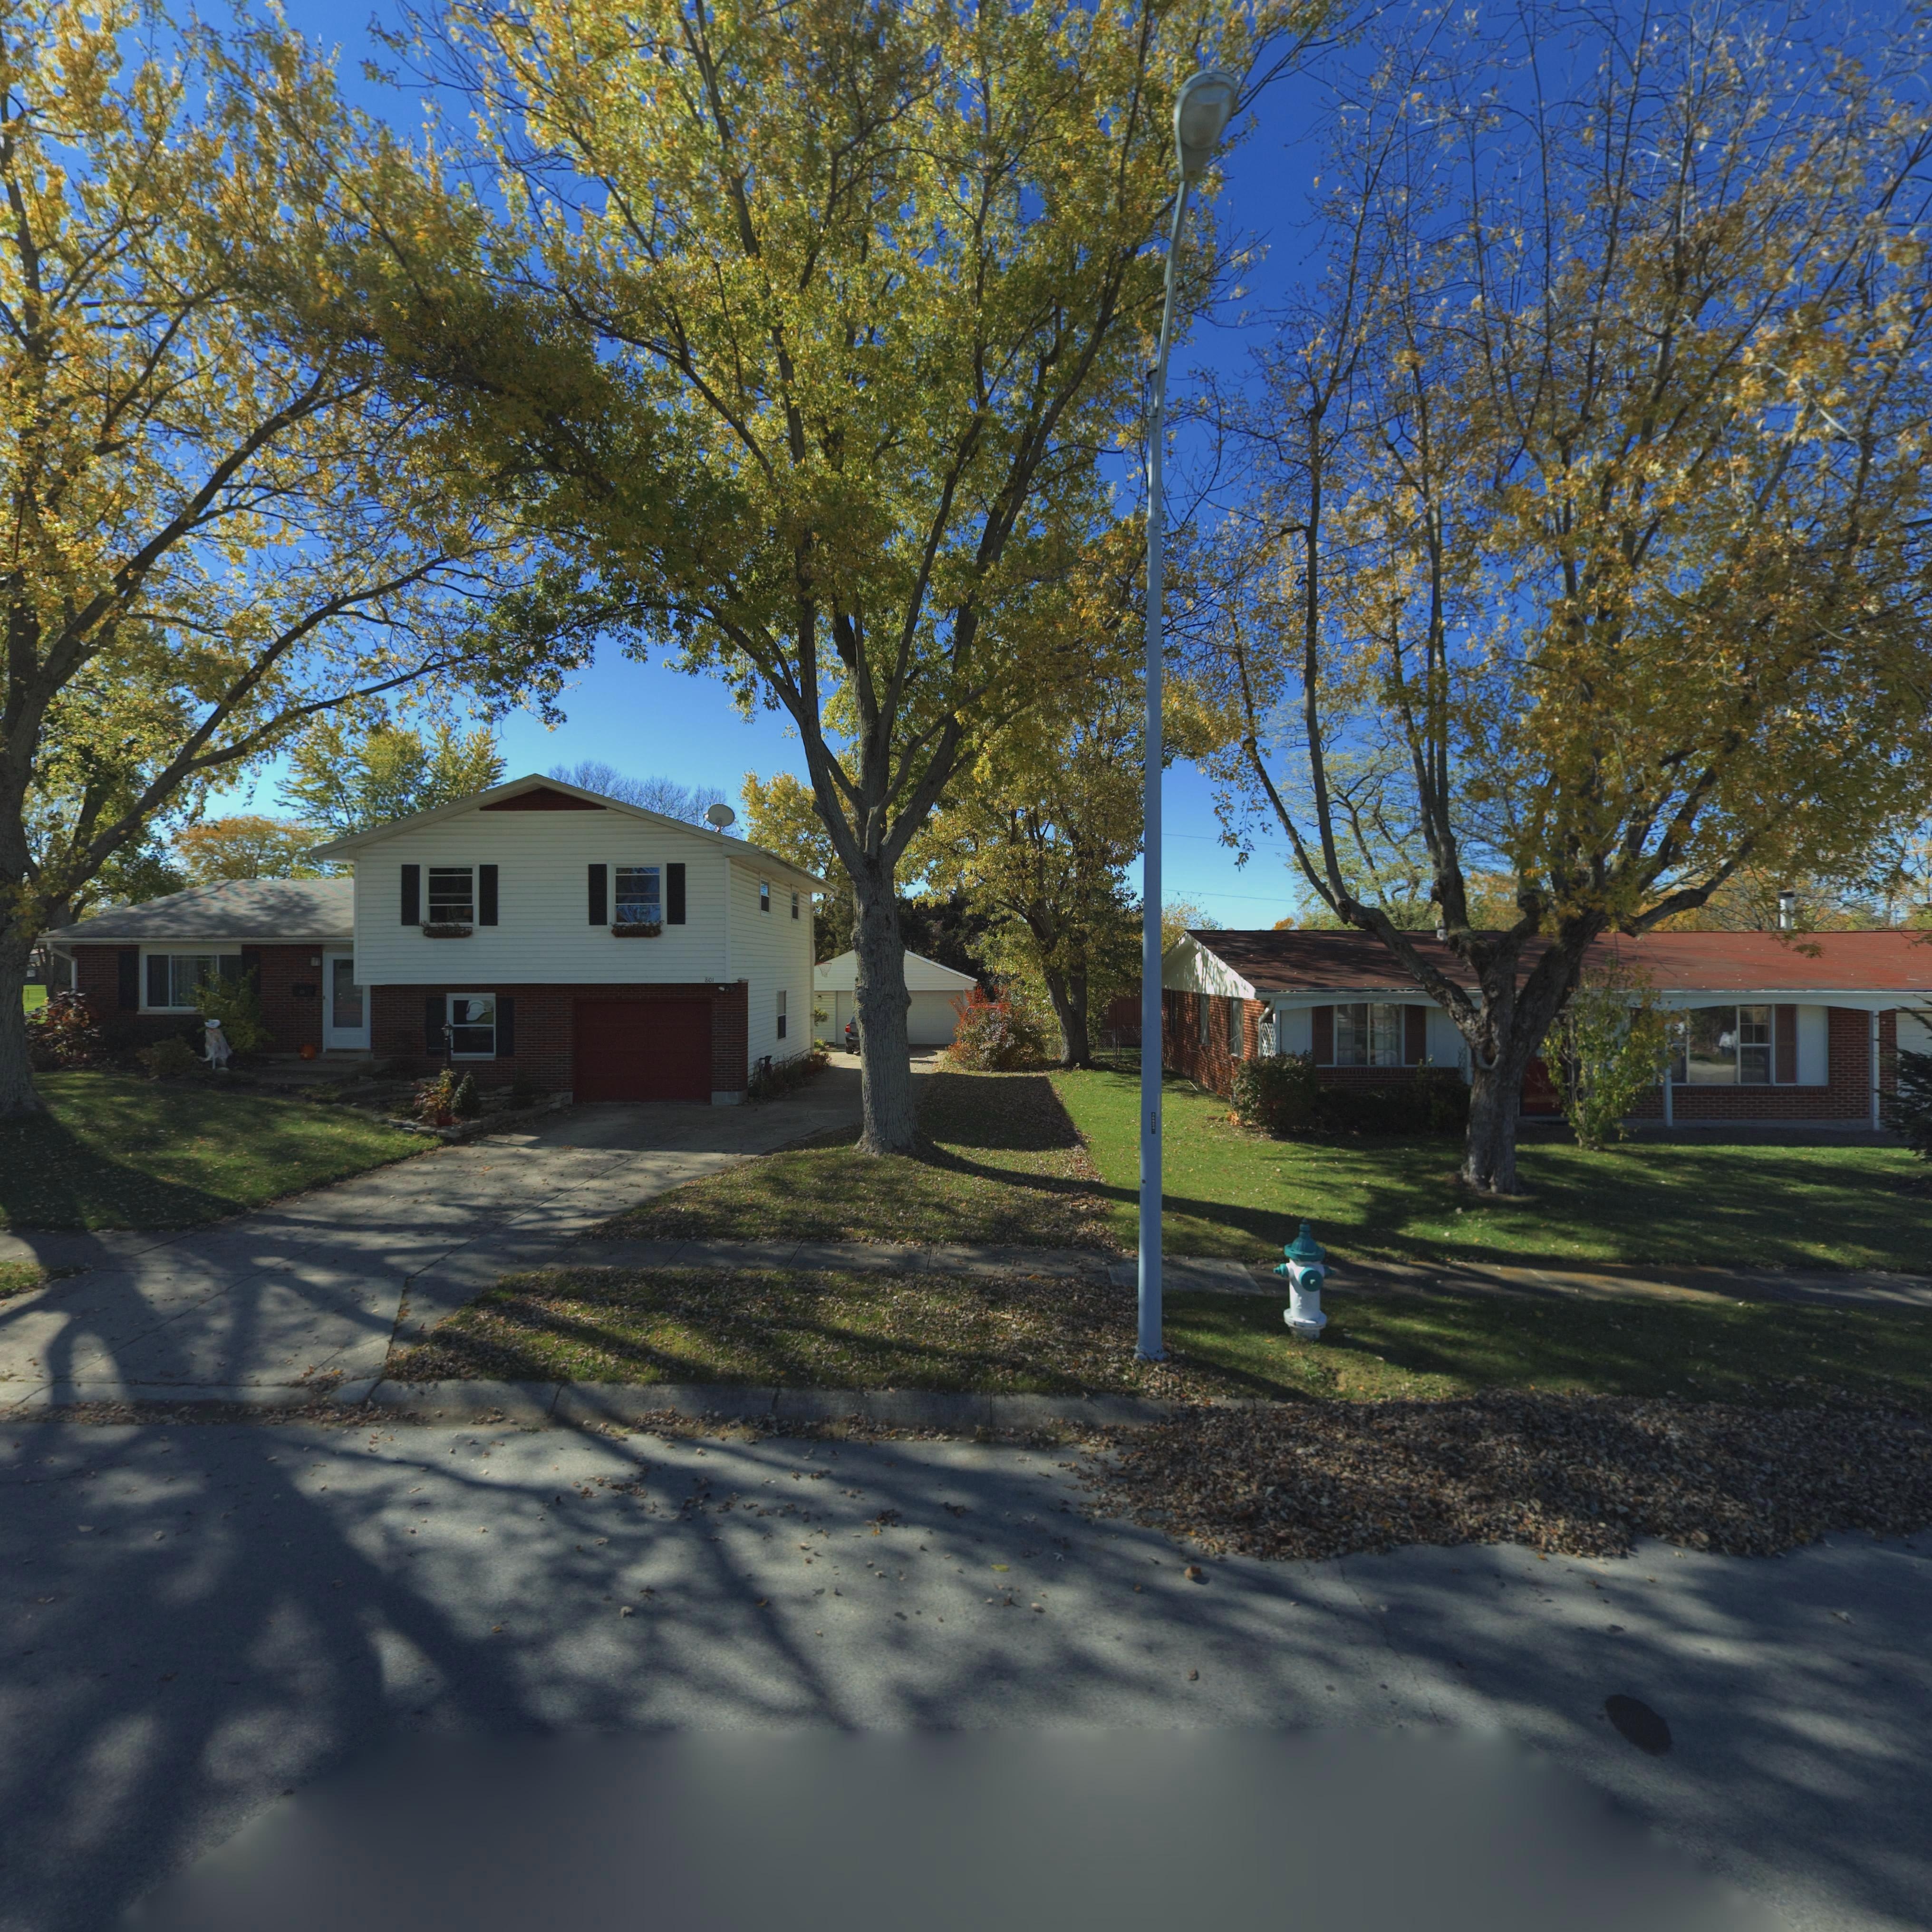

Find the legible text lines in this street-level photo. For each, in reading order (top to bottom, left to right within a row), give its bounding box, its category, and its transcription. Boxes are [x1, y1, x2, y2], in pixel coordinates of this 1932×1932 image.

[705, 977, 714, 983] StreetNumber: 801